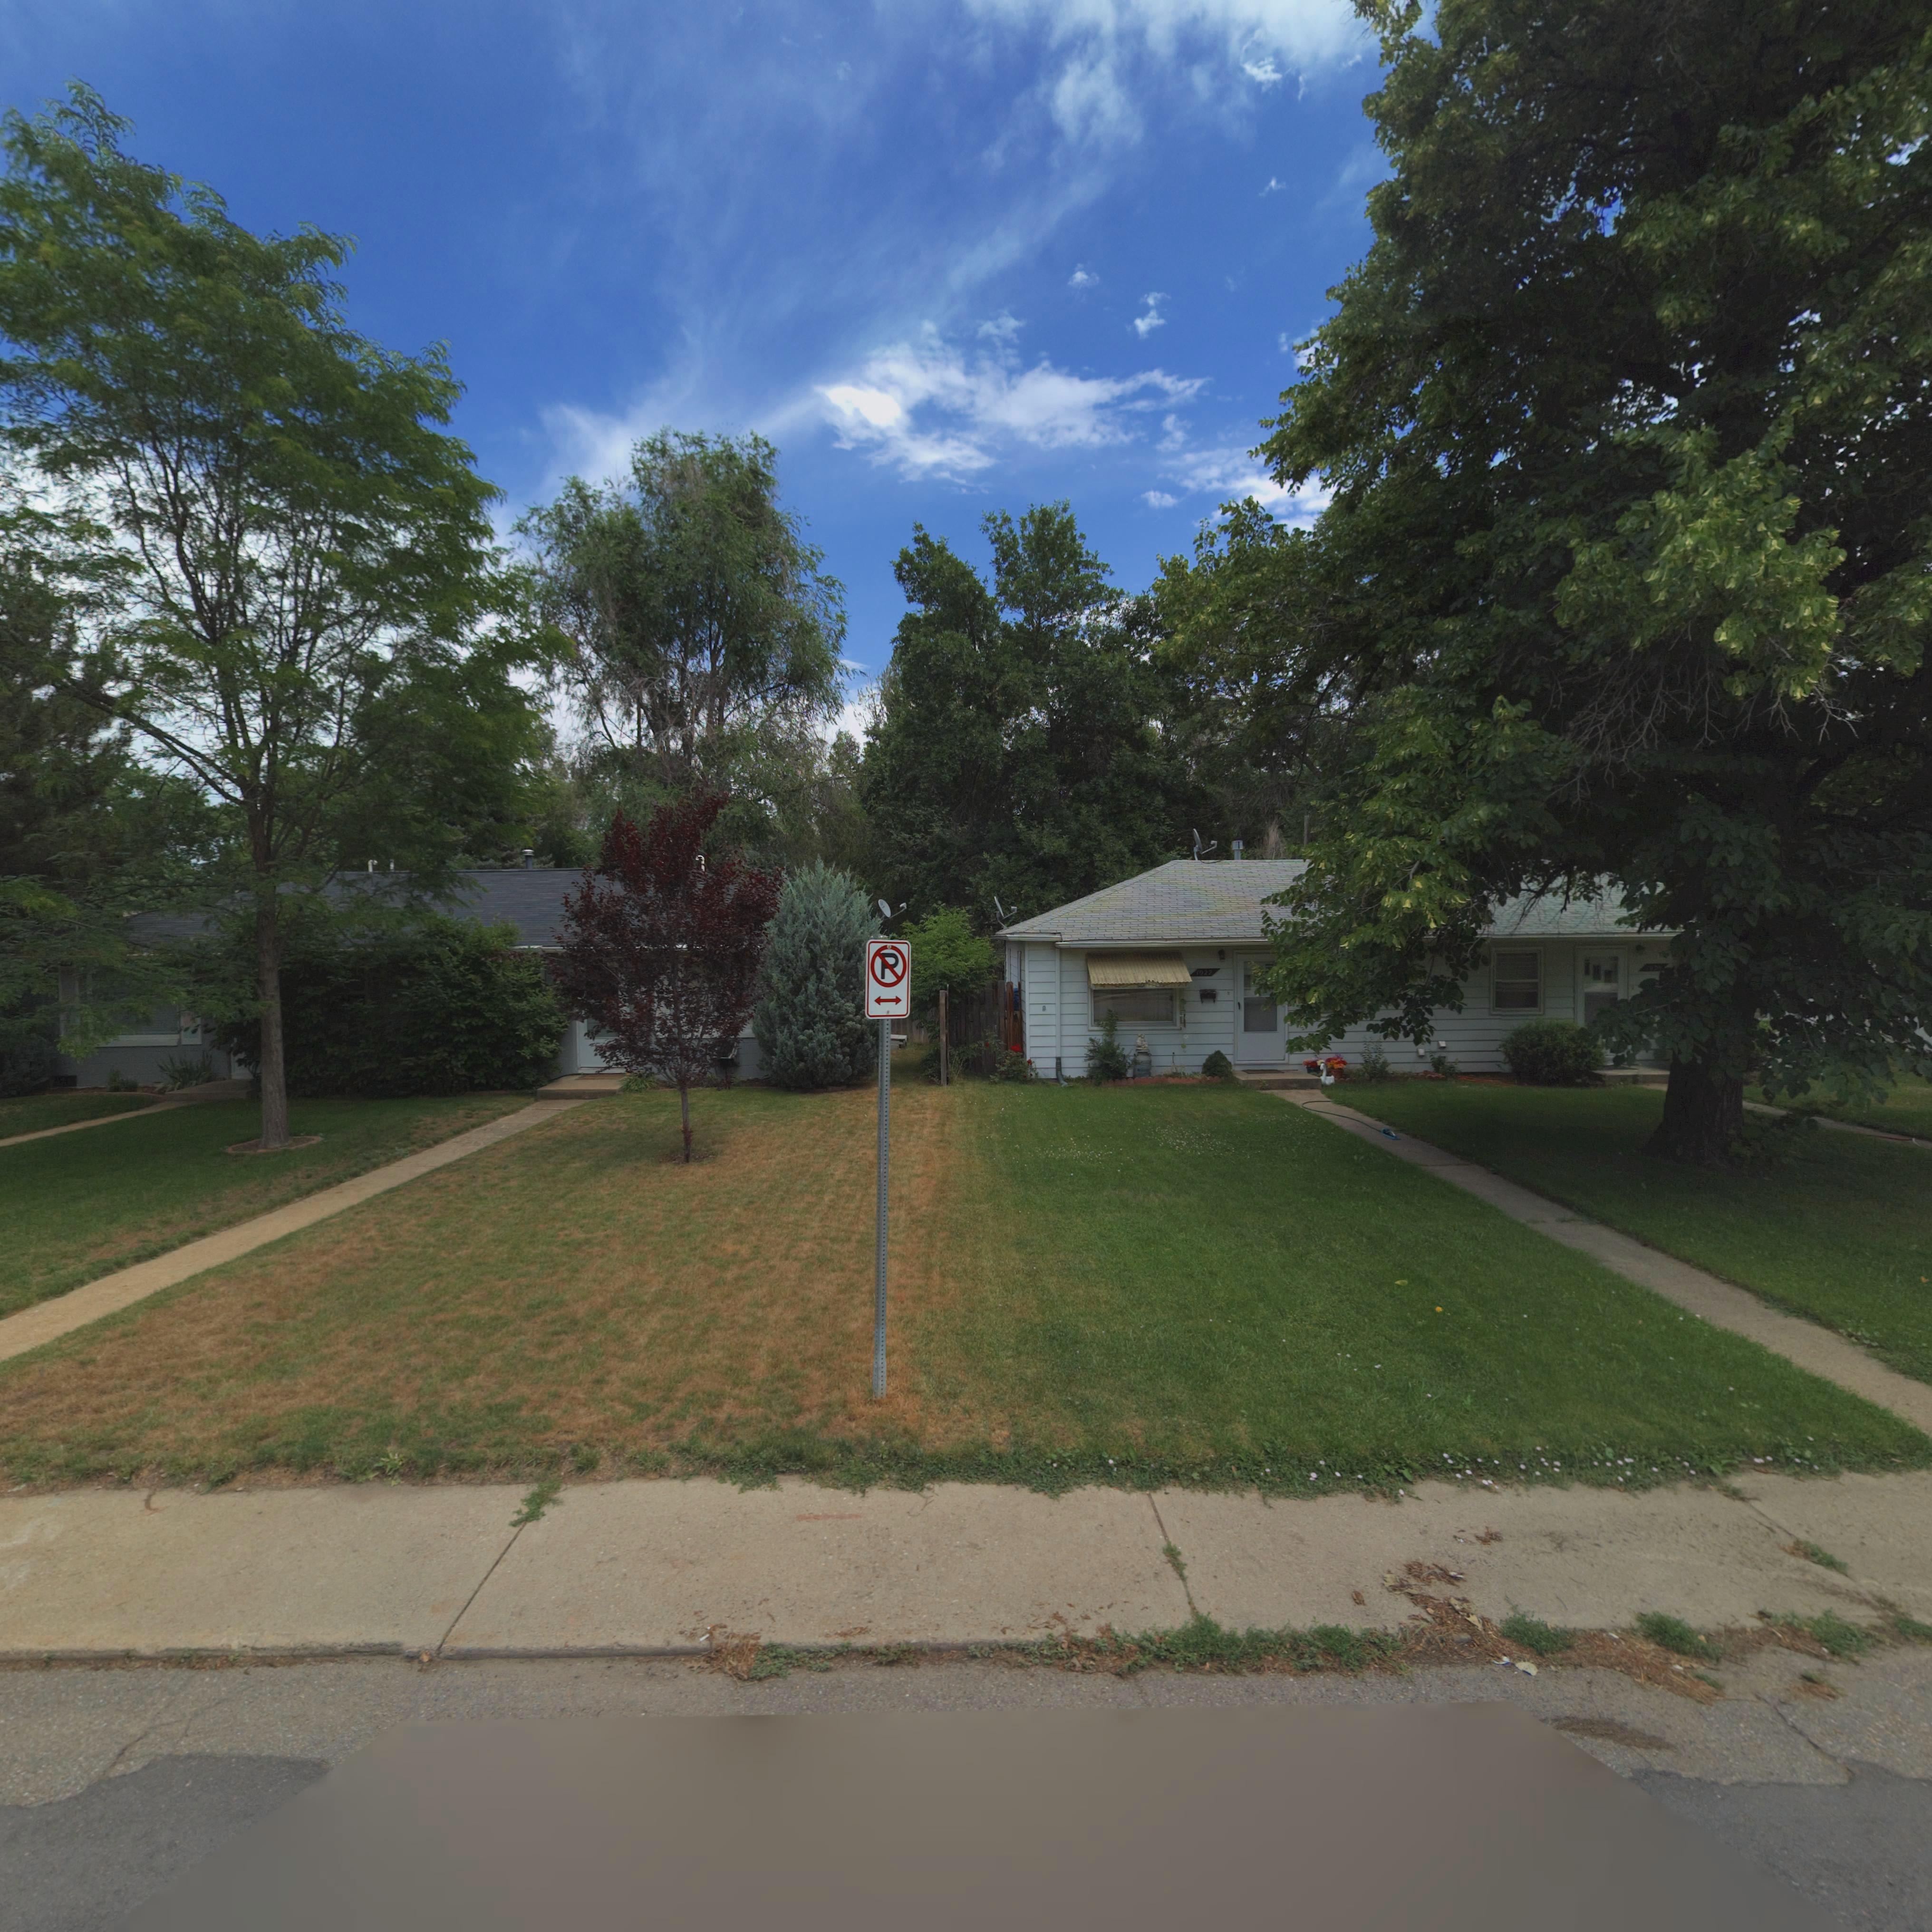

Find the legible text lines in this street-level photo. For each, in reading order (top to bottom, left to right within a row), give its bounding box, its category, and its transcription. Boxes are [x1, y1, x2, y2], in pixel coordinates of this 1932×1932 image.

[1195, 969, 1212, 976] StreetNumber: 1022